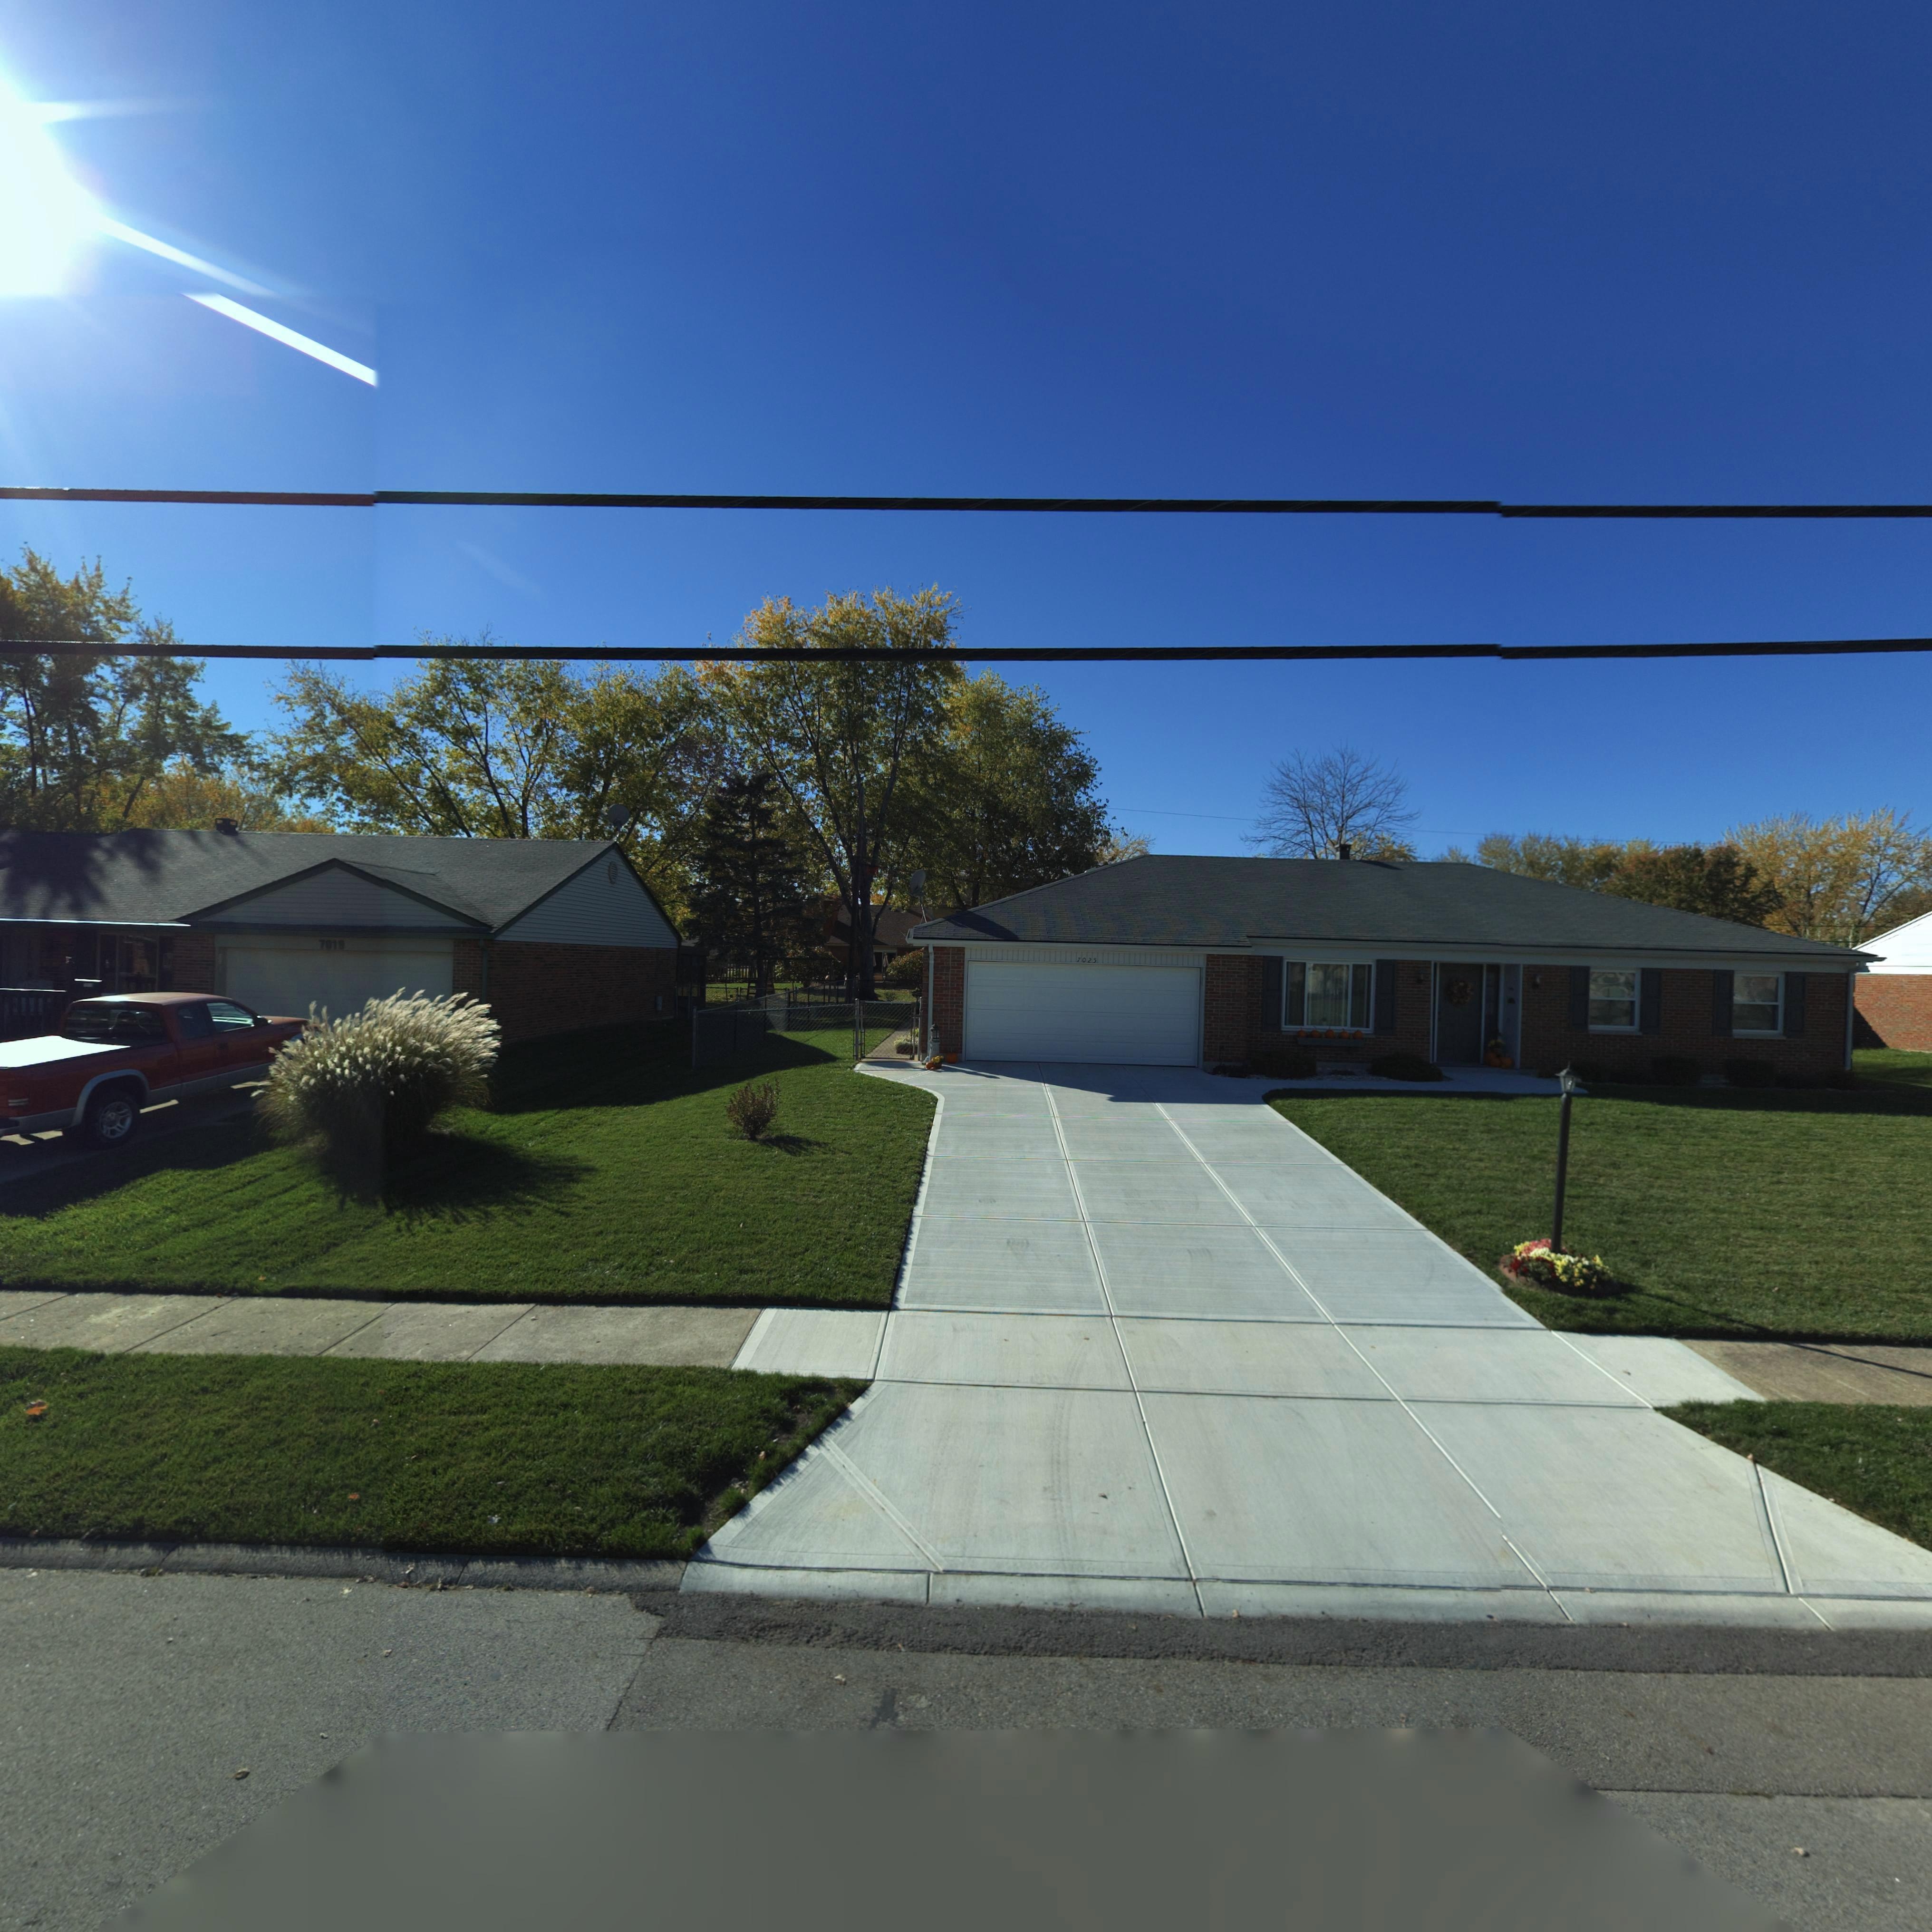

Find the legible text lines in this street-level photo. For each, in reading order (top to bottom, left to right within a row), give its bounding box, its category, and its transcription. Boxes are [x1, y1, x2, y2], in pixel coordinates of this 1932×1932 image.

[318, 939, 346, 951] StreetNumber: 7019
[1077, 957, 1097, 963] StreetNumber: 7025